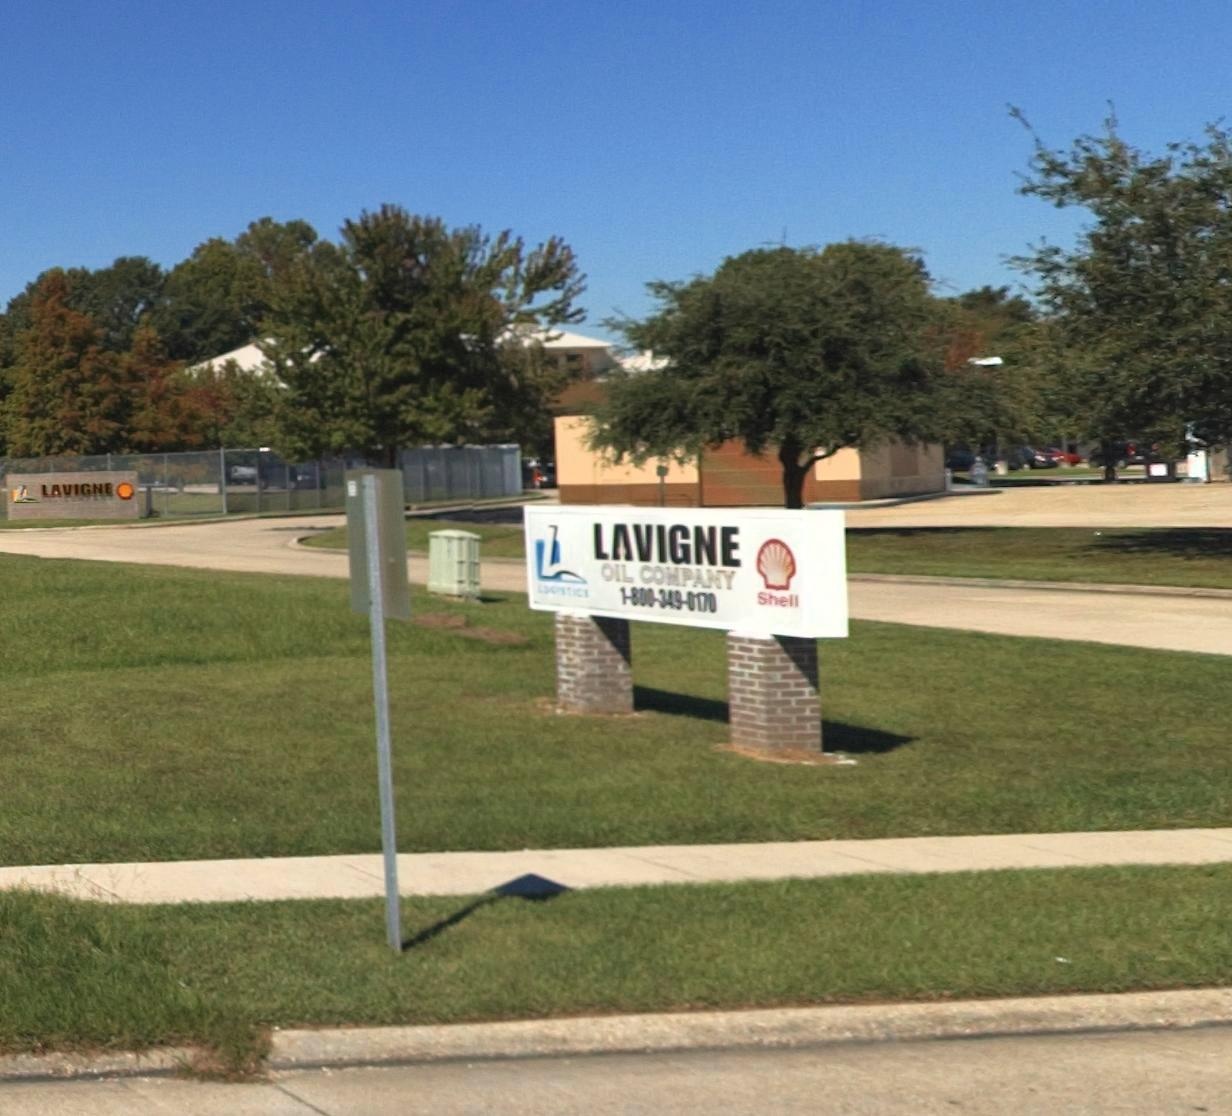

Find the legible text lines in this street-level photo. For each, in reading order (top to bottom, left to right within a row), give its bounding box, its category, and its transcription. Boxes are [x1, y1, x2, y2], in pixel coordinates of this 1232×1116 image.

[39, 480, 115, 500] BusinessName: LAVIGNE
[590, 519, 744, 570] BusinessName: LAVIGNE
[599, 560, 741, 593] BusinessName: OIL COMPANY
[617, 583, 721, 616] None: 1-800-349-0170
[755, 587, 802, 611] BusinessName: Shell